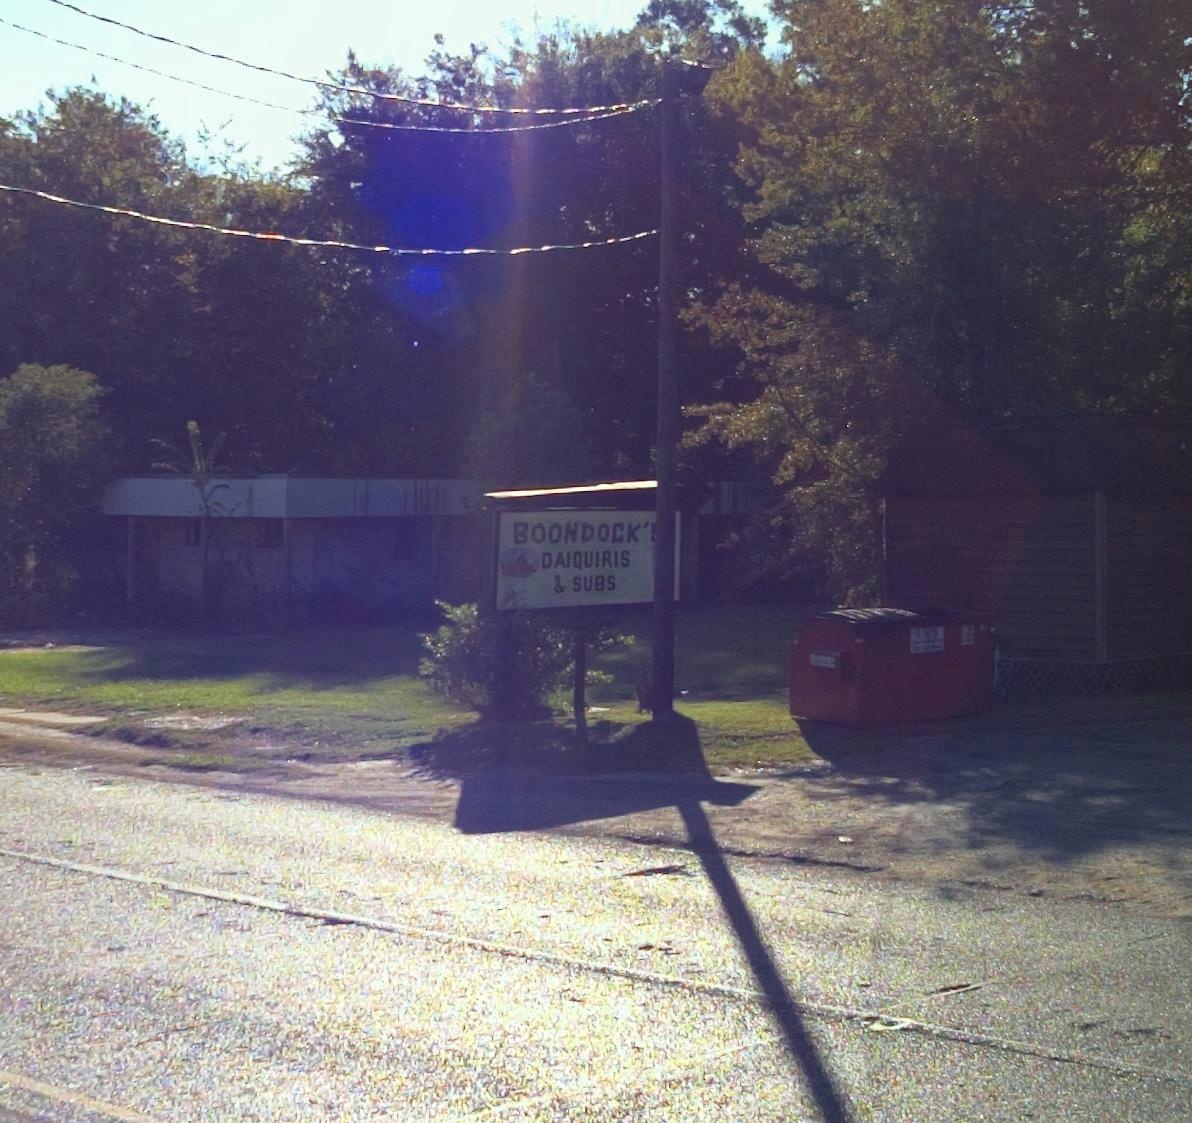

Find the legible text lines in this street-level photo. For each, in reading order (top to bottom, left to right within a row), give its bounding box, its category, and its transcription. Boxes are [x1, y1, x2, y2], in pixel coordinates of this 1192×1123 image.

[511, 519, 644, 546] BusinessName: BOONDOCK
[537, 548, 633, 571] BusinessName: DAIQUIRIS
[571, 573, 618, 593] BusinessName: SUBS
[913, 626, 940, 640] None: LWS